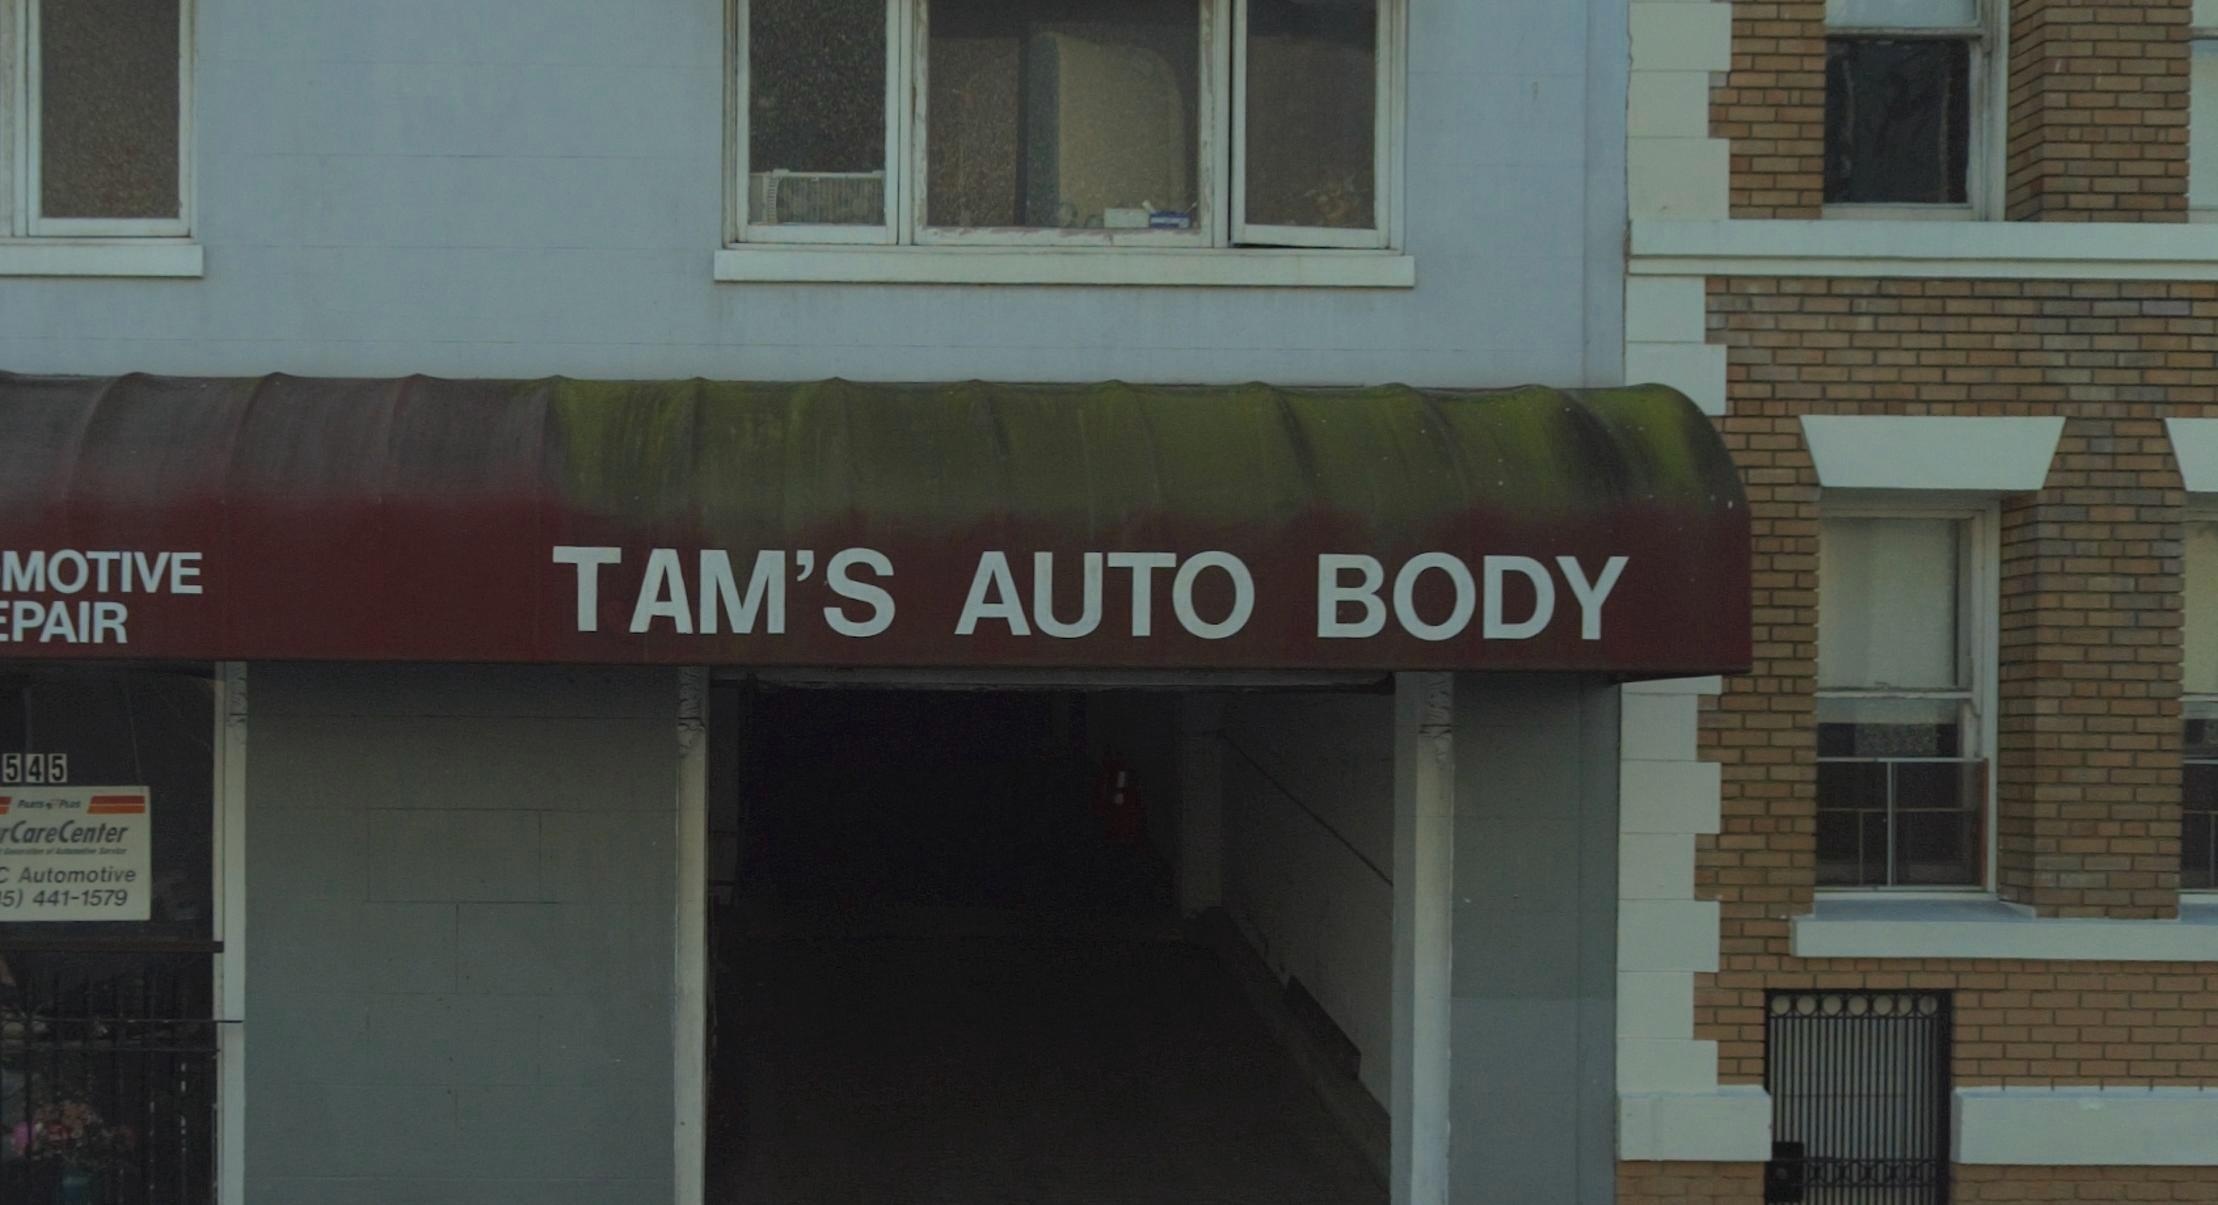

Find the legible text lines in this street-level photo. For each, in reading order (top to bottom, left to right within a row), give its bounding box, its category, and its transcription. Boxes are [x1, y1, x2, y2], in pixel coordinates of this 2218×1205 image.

[0, 546, 206, 596] None: MOTIVE
[544, 541, 1637, 646] BusinessName: TAM'S AUTO BODY
[10, 598, 132, 645] None: PAIR
[3, 753, 68, 784] StreetNumber: 545
[7, 816, 132, 849] None: Care Center
[14, 863, 141, 888] None: Automotive
[0, 886, 133, 912] None: 5) 441-1579